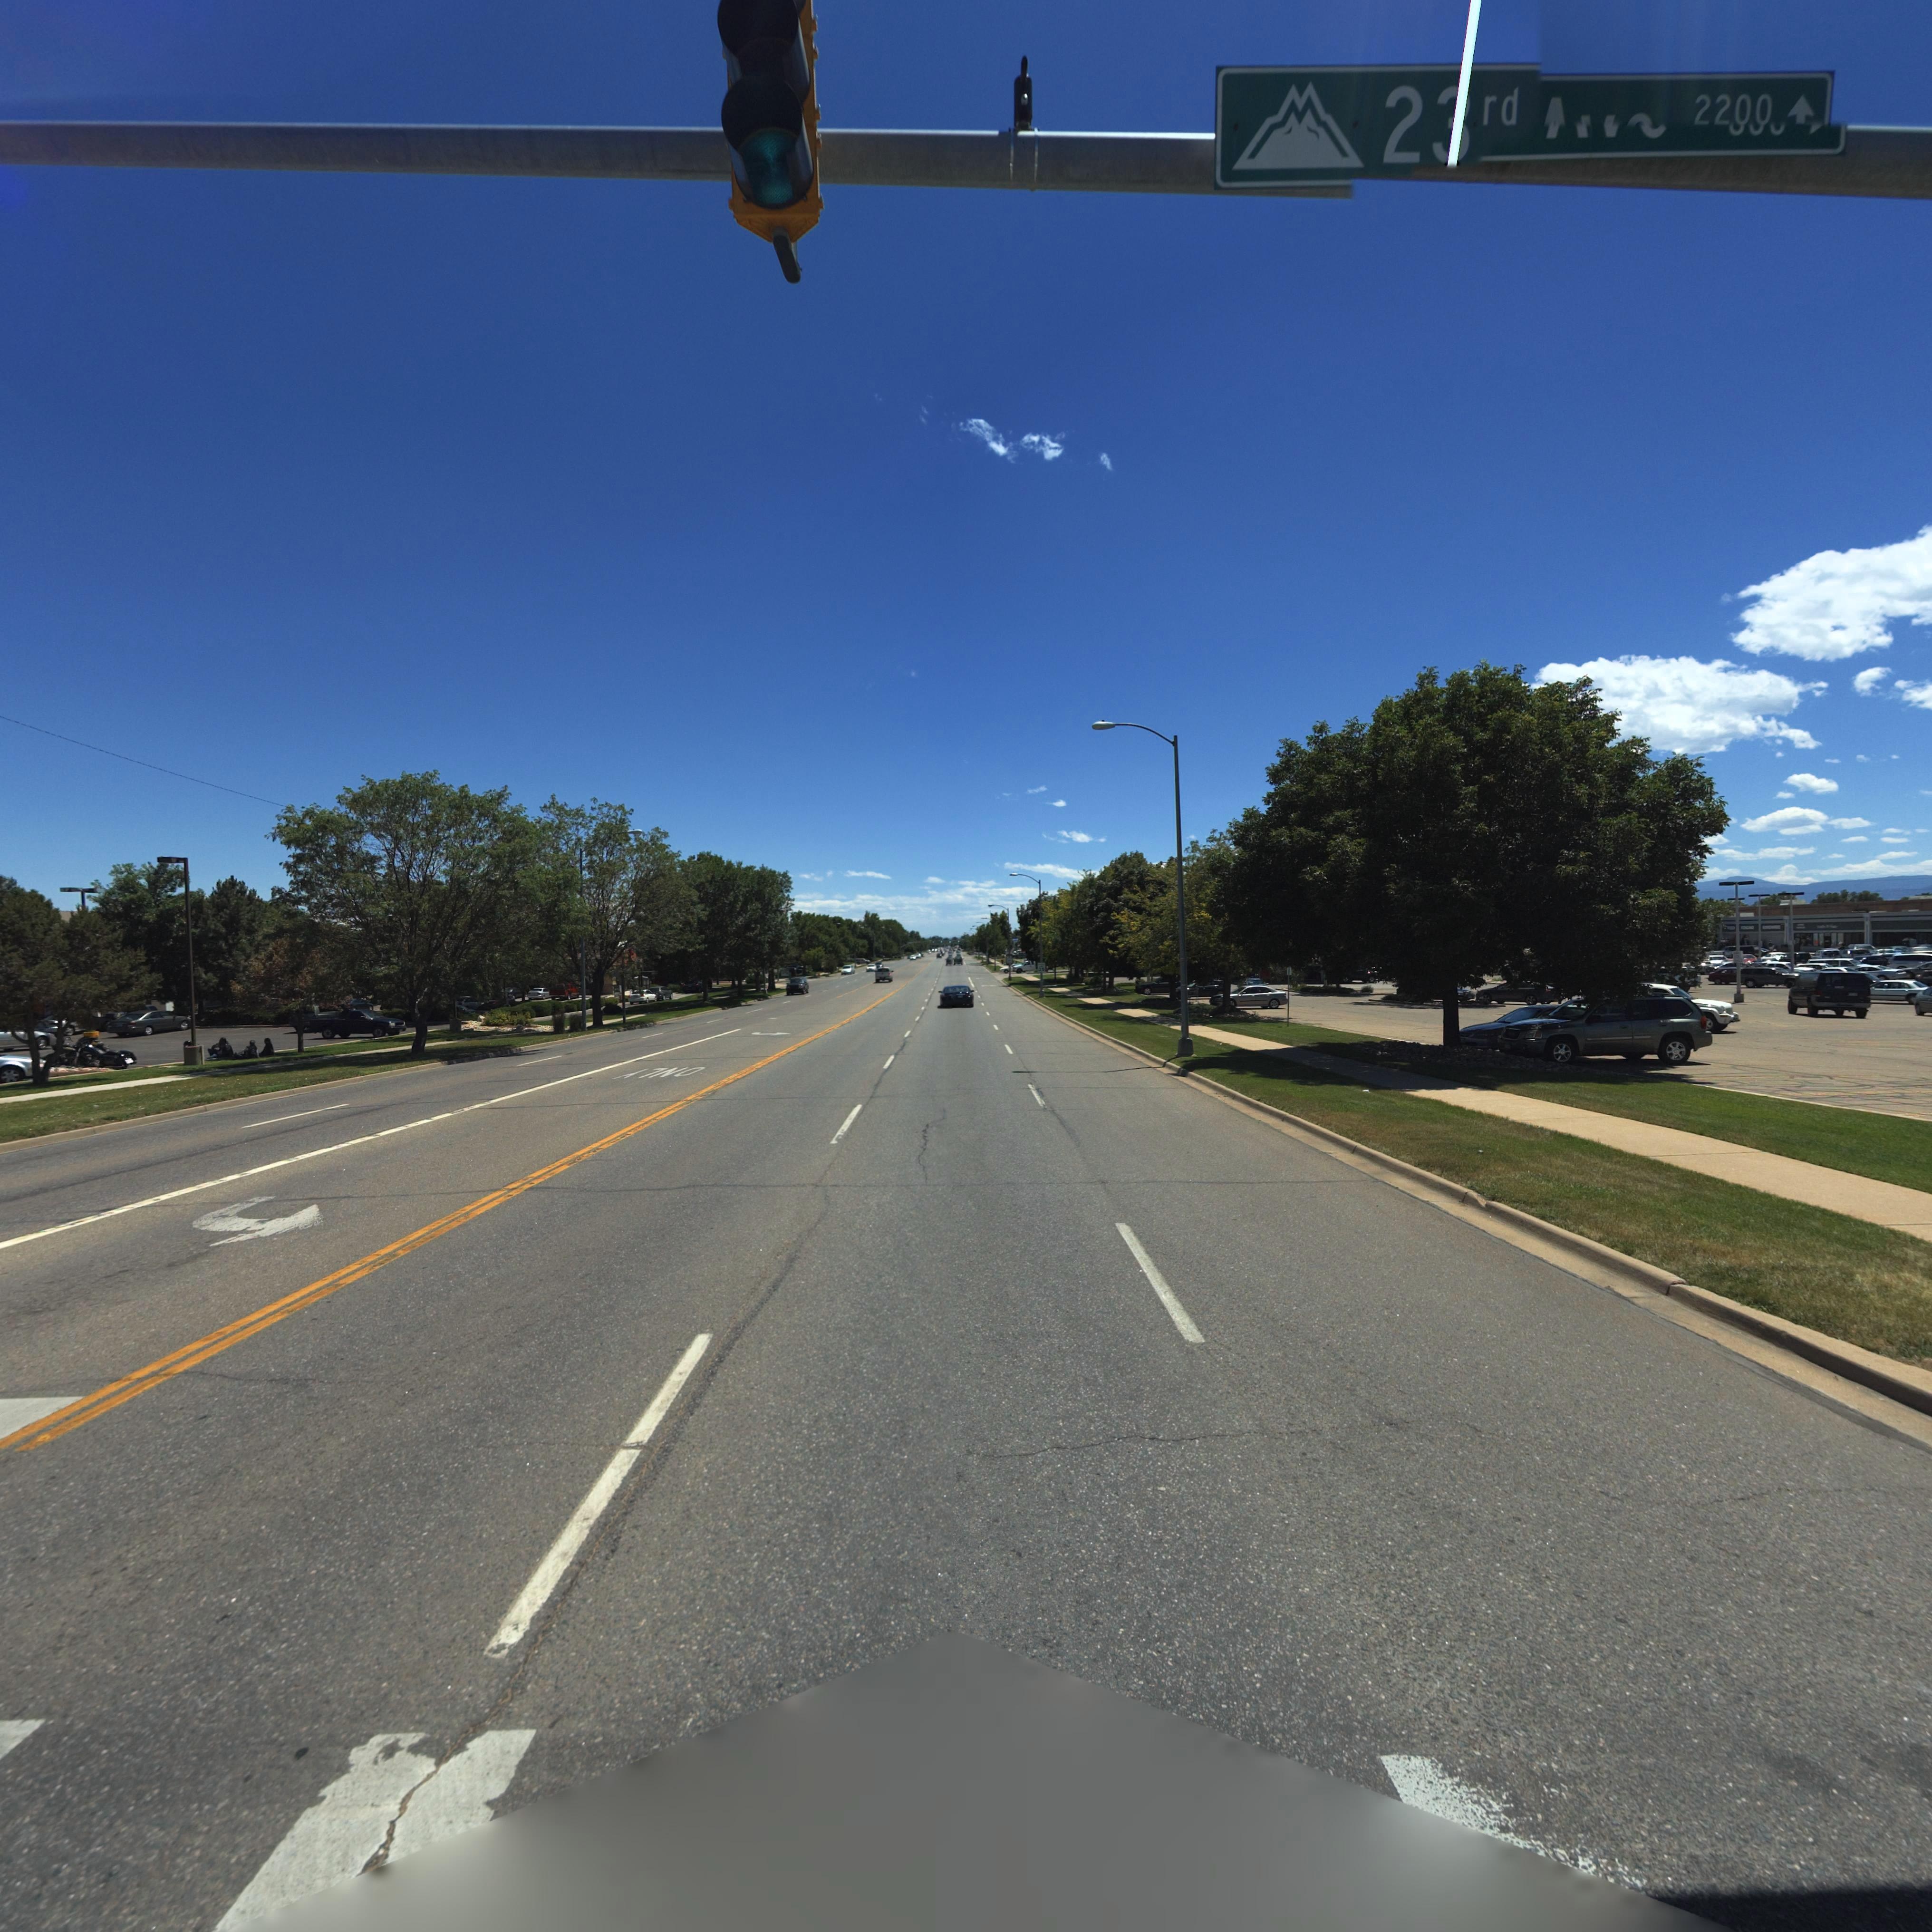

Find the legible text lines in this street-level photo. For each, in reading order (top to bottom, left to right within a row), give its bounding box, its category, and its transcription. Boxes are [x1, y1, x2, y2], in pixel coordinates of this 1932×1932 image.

[1381, 84, 1519, 165] StreetName: 2*rd
[1693, 92, 1773, 126] StreetNumberRange: 2200